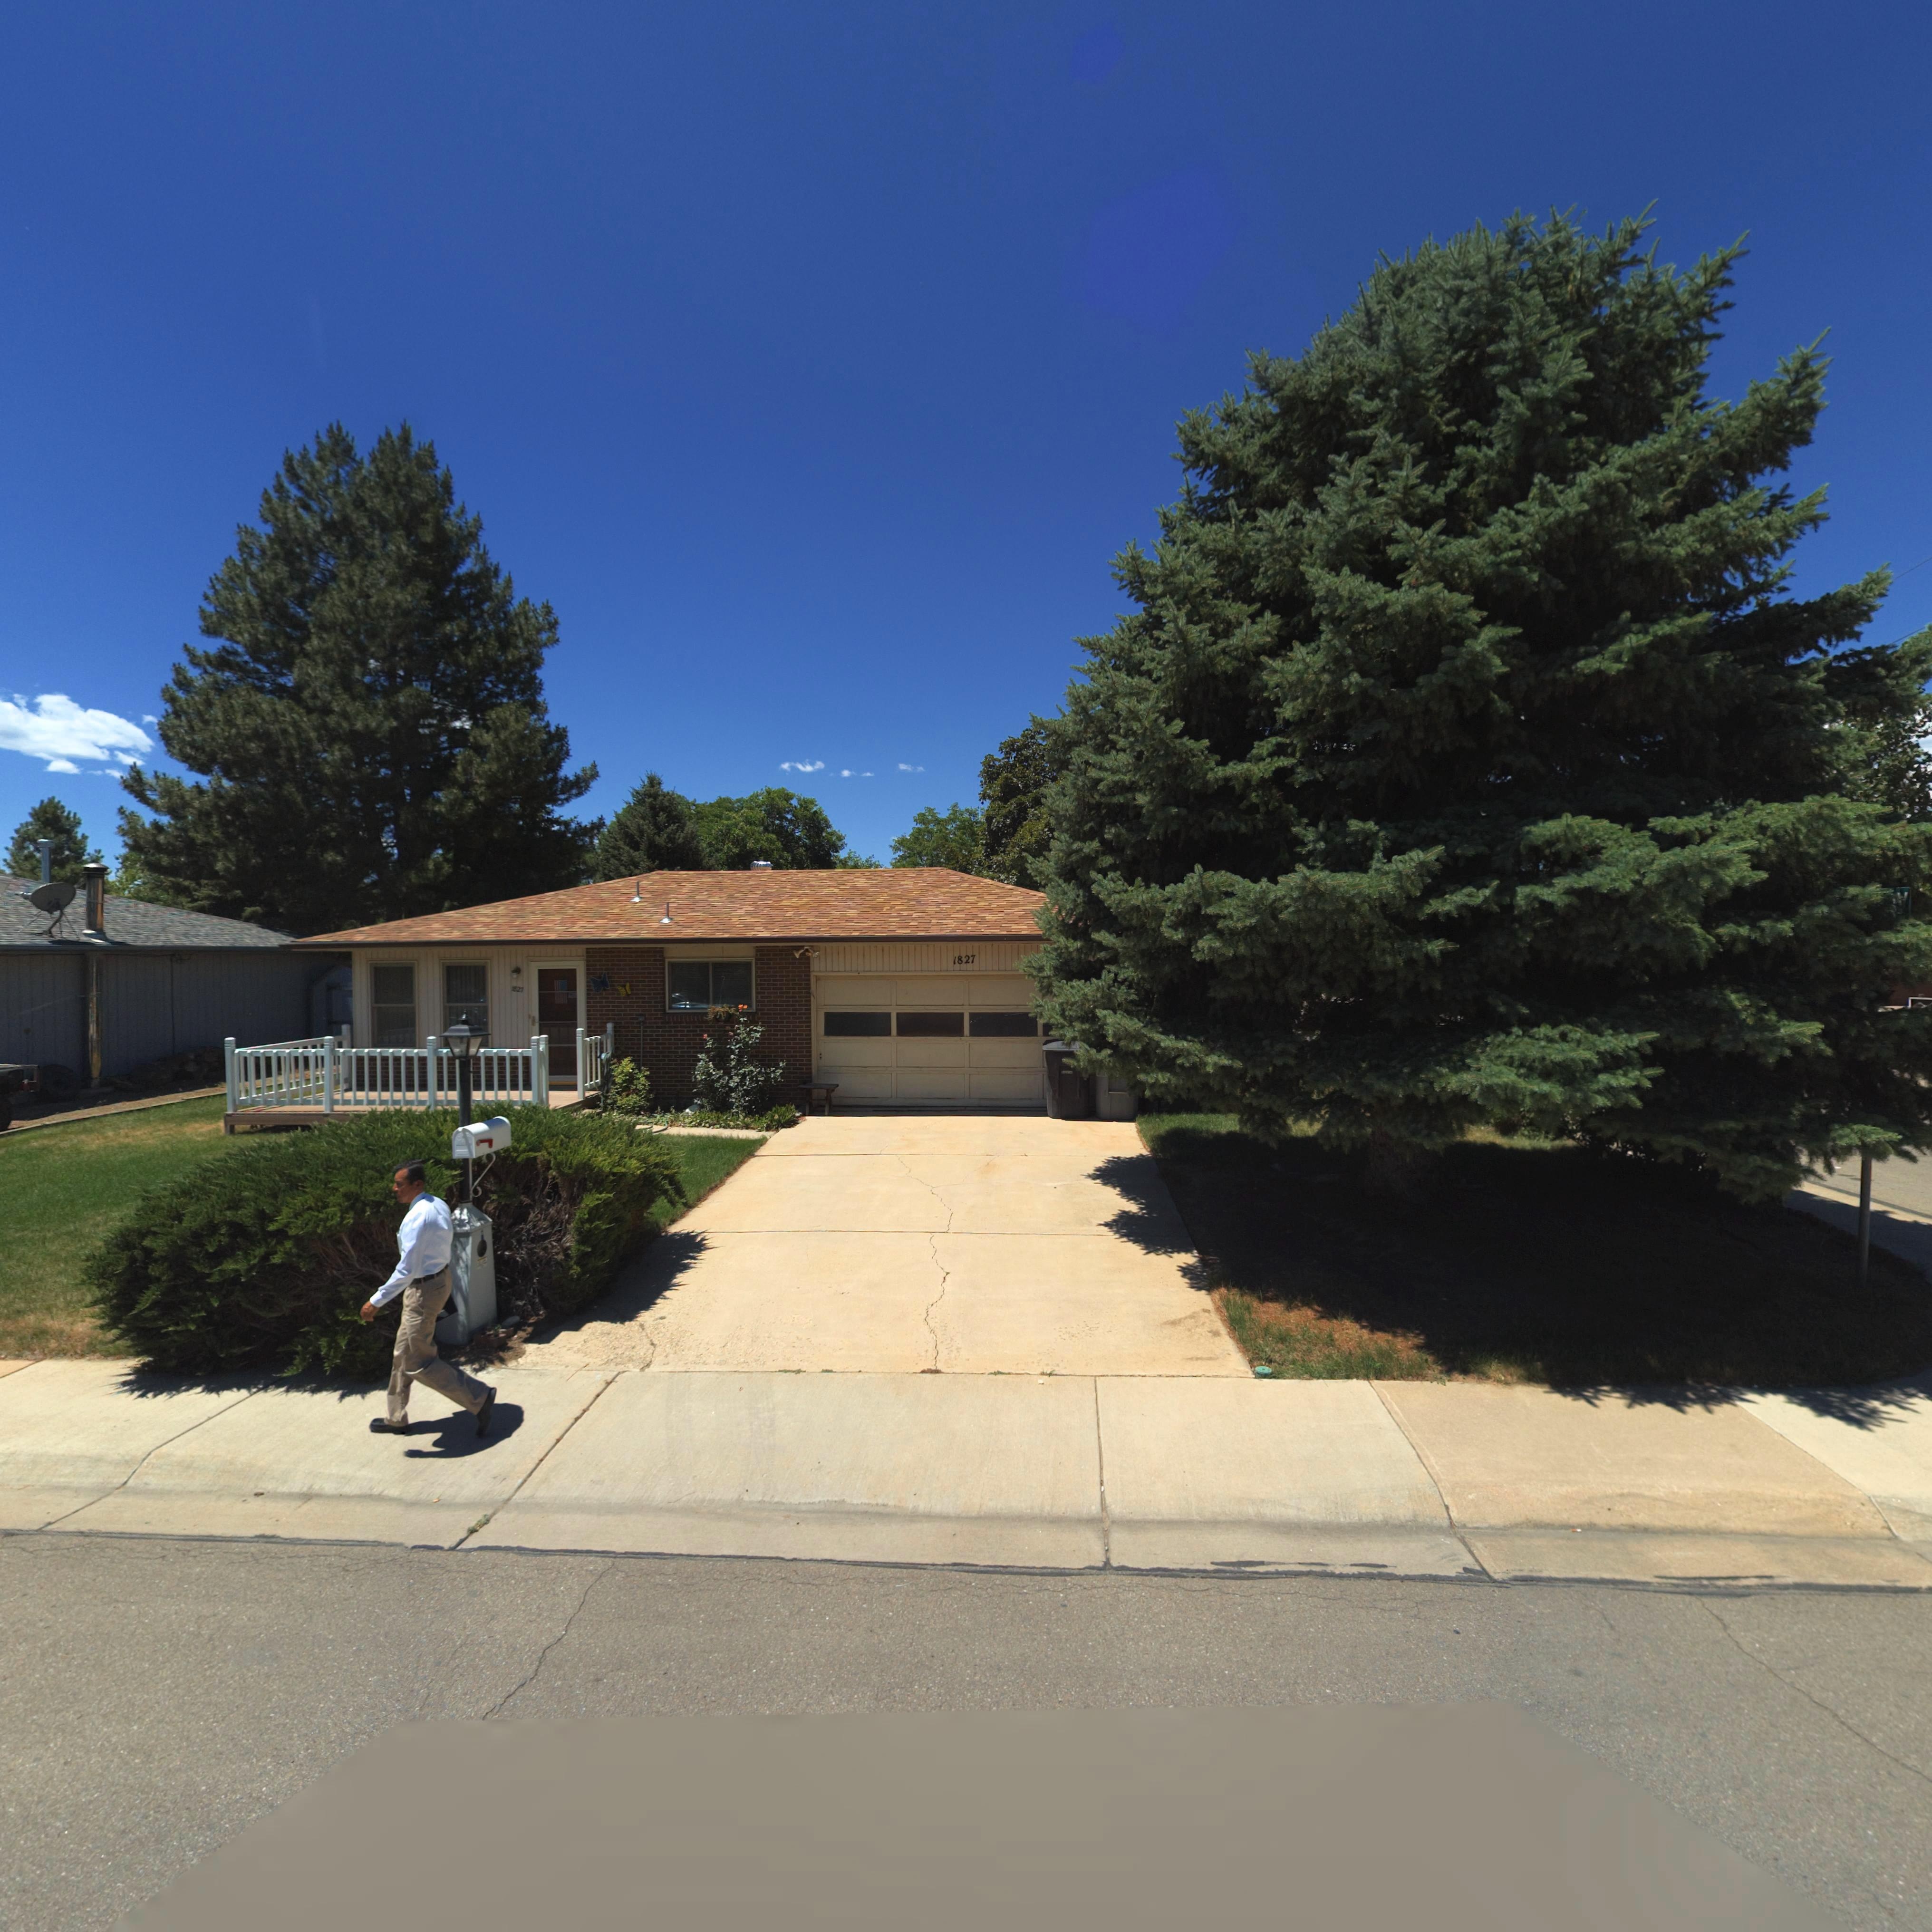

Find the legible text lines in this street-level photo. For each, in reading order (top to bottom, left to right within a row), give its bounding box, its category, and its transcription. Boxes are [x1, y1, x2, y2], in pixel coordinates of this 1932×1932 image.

[953, 954, 976, 965] StreetNumber: 1827
[511, 985, 524, 993] StreetNumber: 1827